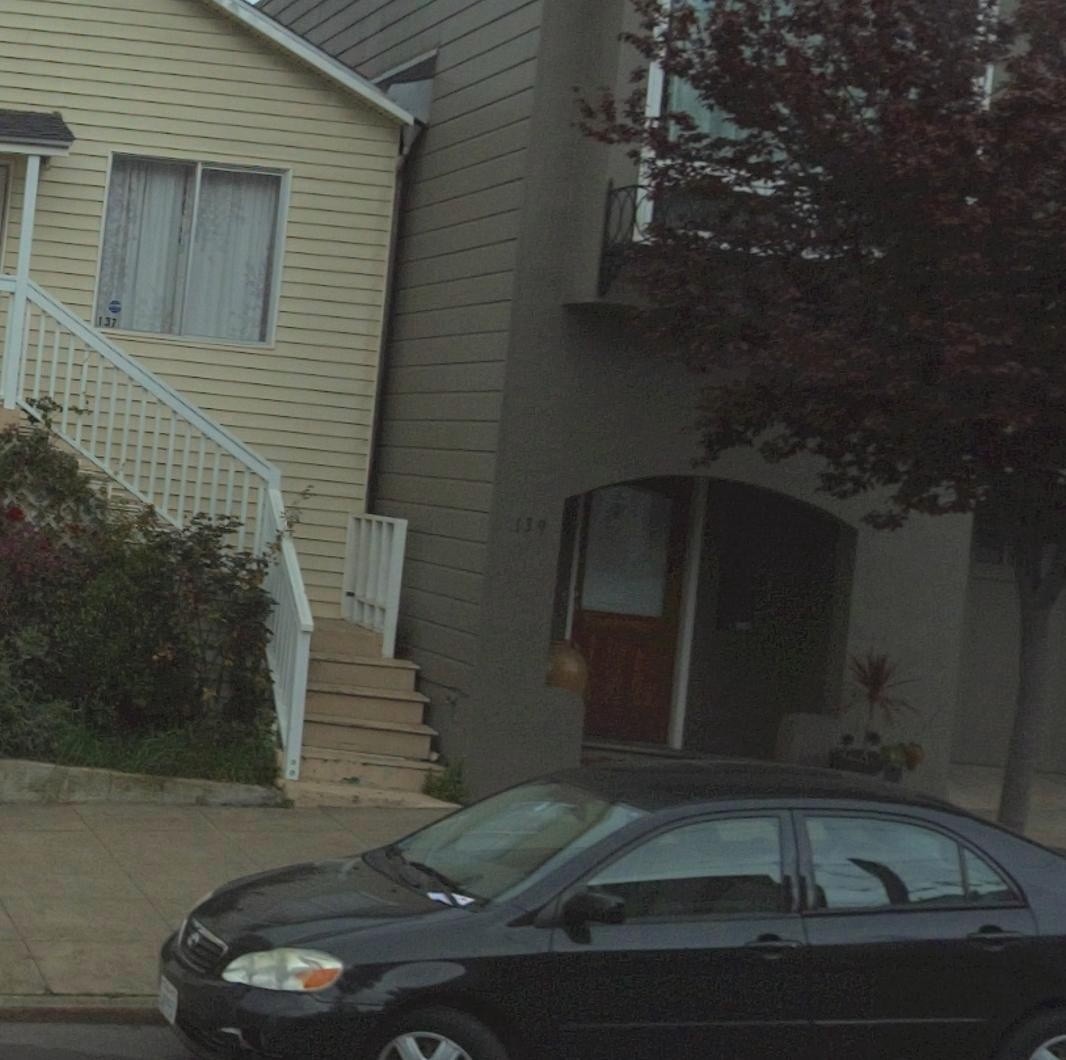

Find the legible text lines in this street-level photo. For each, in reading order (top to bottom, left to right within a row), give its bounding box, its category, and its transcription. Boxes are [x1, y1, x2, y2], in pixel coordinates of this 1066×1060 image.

[514, 516, 550, 537] StreetNumber: 139